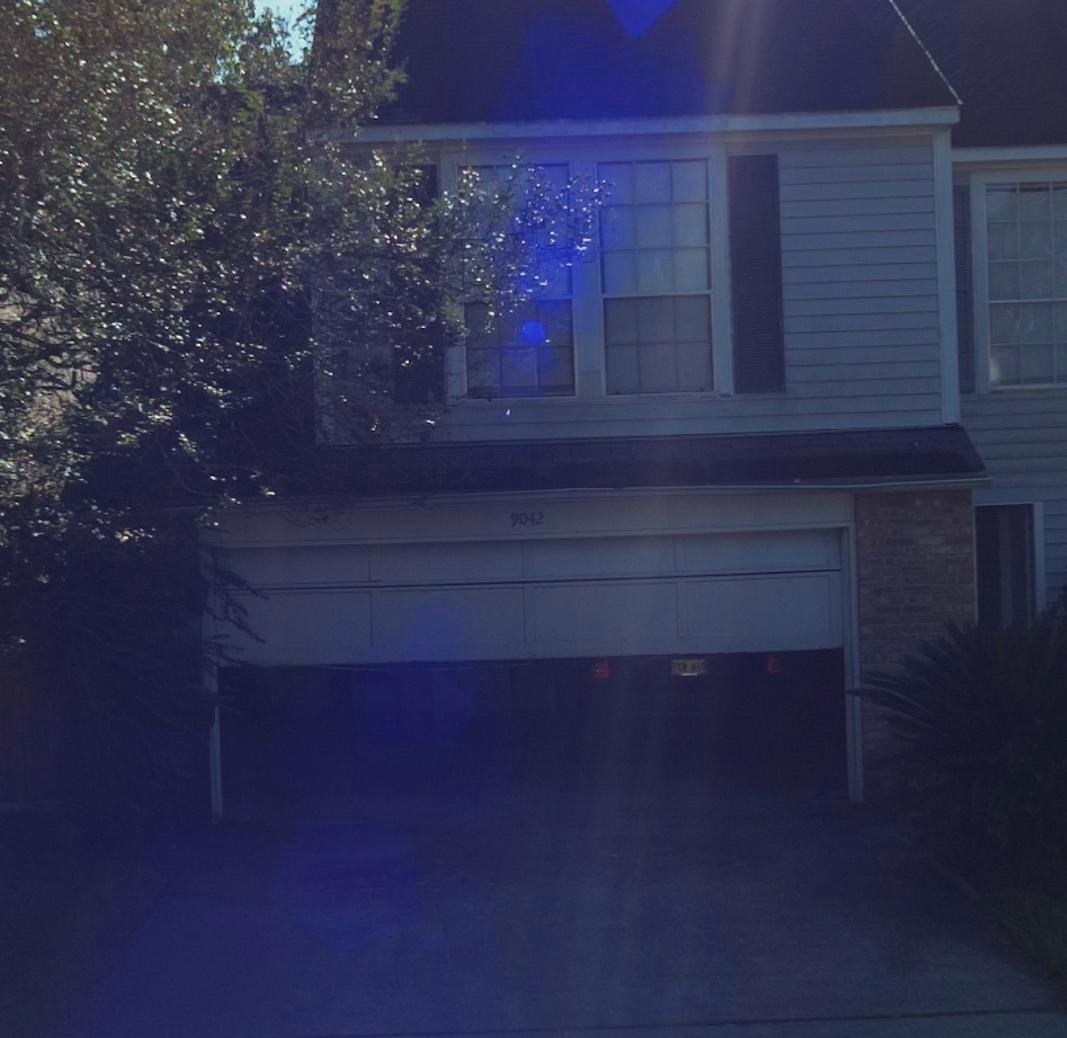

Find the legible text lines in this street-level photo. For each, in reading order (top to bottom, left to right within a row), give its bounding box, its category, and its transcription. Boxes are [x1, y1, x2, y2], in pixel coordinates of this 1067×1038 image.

[510, 511, 545, 527] StreetNumber: 9042
[672, 661, 704, 671] None: TEN 415